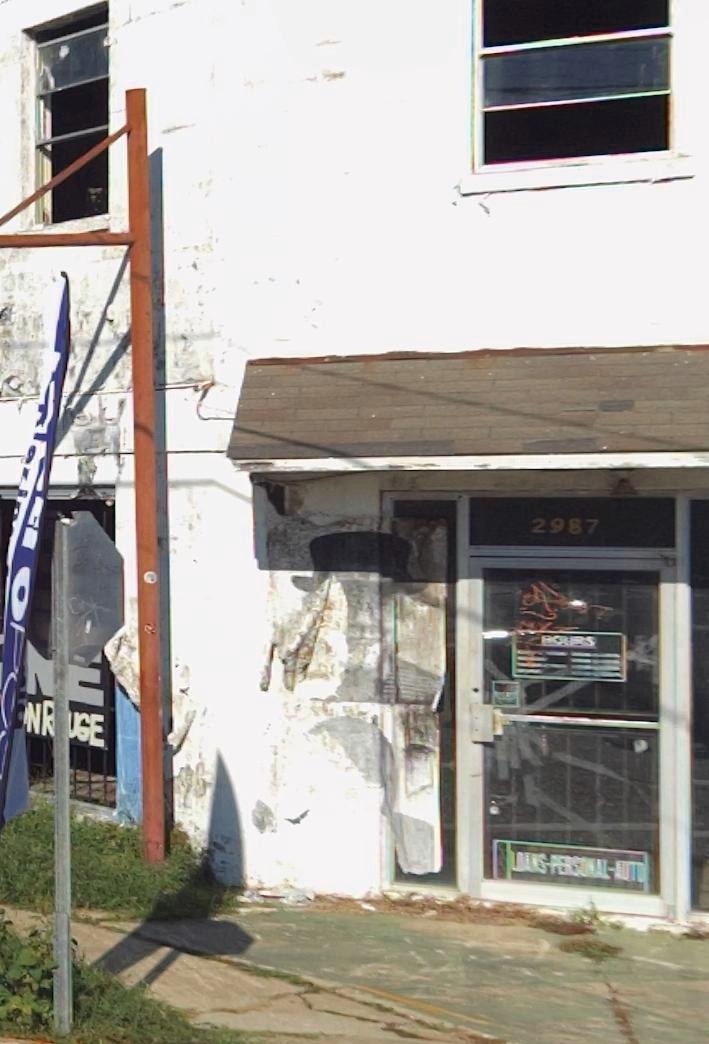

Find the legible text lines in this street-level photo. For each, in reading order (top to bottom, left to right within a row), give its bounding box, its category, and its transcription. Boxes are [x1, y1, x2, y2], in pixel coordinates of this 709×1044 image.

[528, 515, 604, 537] StreetNumber: 2987
[9, 564, 34, 624] None: O
[24, 697, 107, 749] None: NR**GE
[548, 852, 567, 878] BusinessName: PE